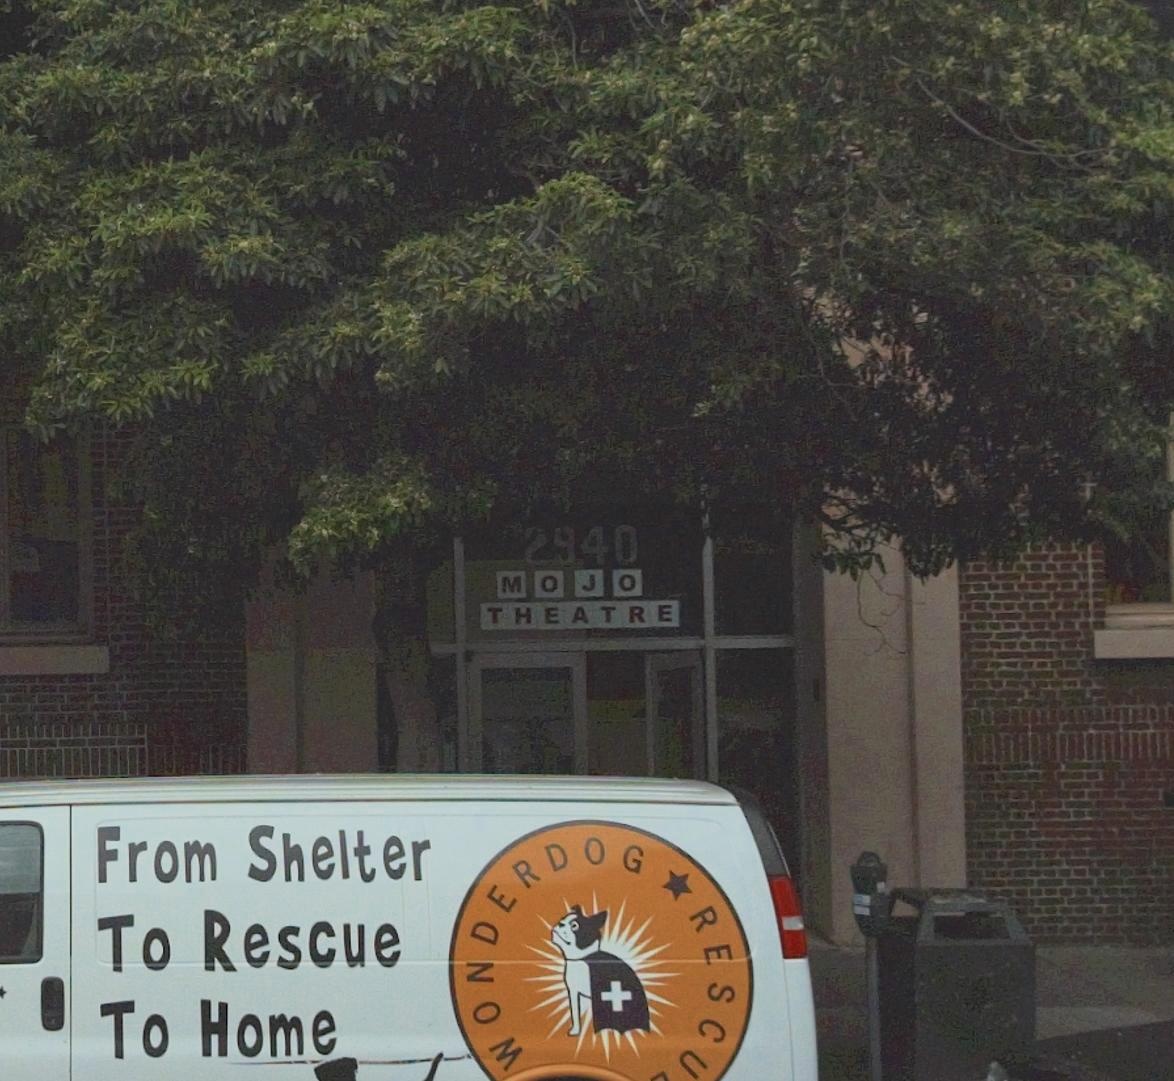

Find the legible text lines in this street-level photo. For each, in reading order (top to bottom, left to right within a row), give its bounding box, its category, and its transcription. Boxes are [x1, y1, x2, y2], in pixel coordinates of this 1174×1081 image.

[521, 523, 640, 567] StreetNumber: 2940
[500, 573, 637, 595] BusinessName: MOJO
[485, 604, 674, 626] BusinessName: THEATRE
[95, 822, 433, 886] None: From Shelter
[96, 907, 401, 973] None: To Rescue
[465, 835, 645, 1073] None: WONDERDOG
[677, 902, 736, 1080] None: RESCUE
[98, 998, 337, 1060] None: To Home